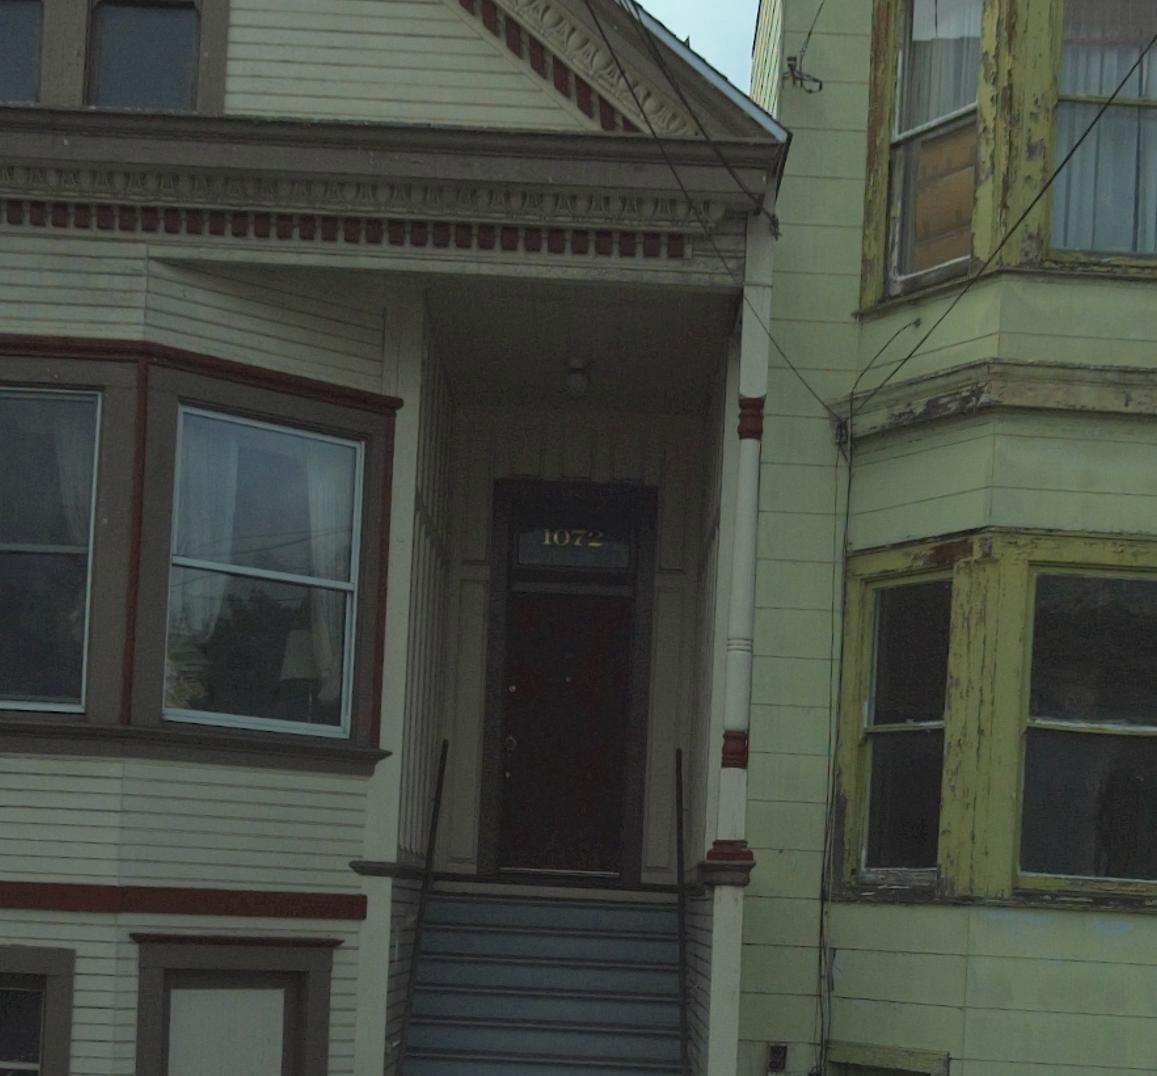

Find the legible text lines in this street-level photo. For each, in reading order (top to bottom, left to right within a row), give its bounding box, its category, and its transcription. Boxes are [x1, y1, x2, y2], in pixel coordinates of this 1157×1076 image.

[540, 526, 605, 548] StreetNumber: 1072